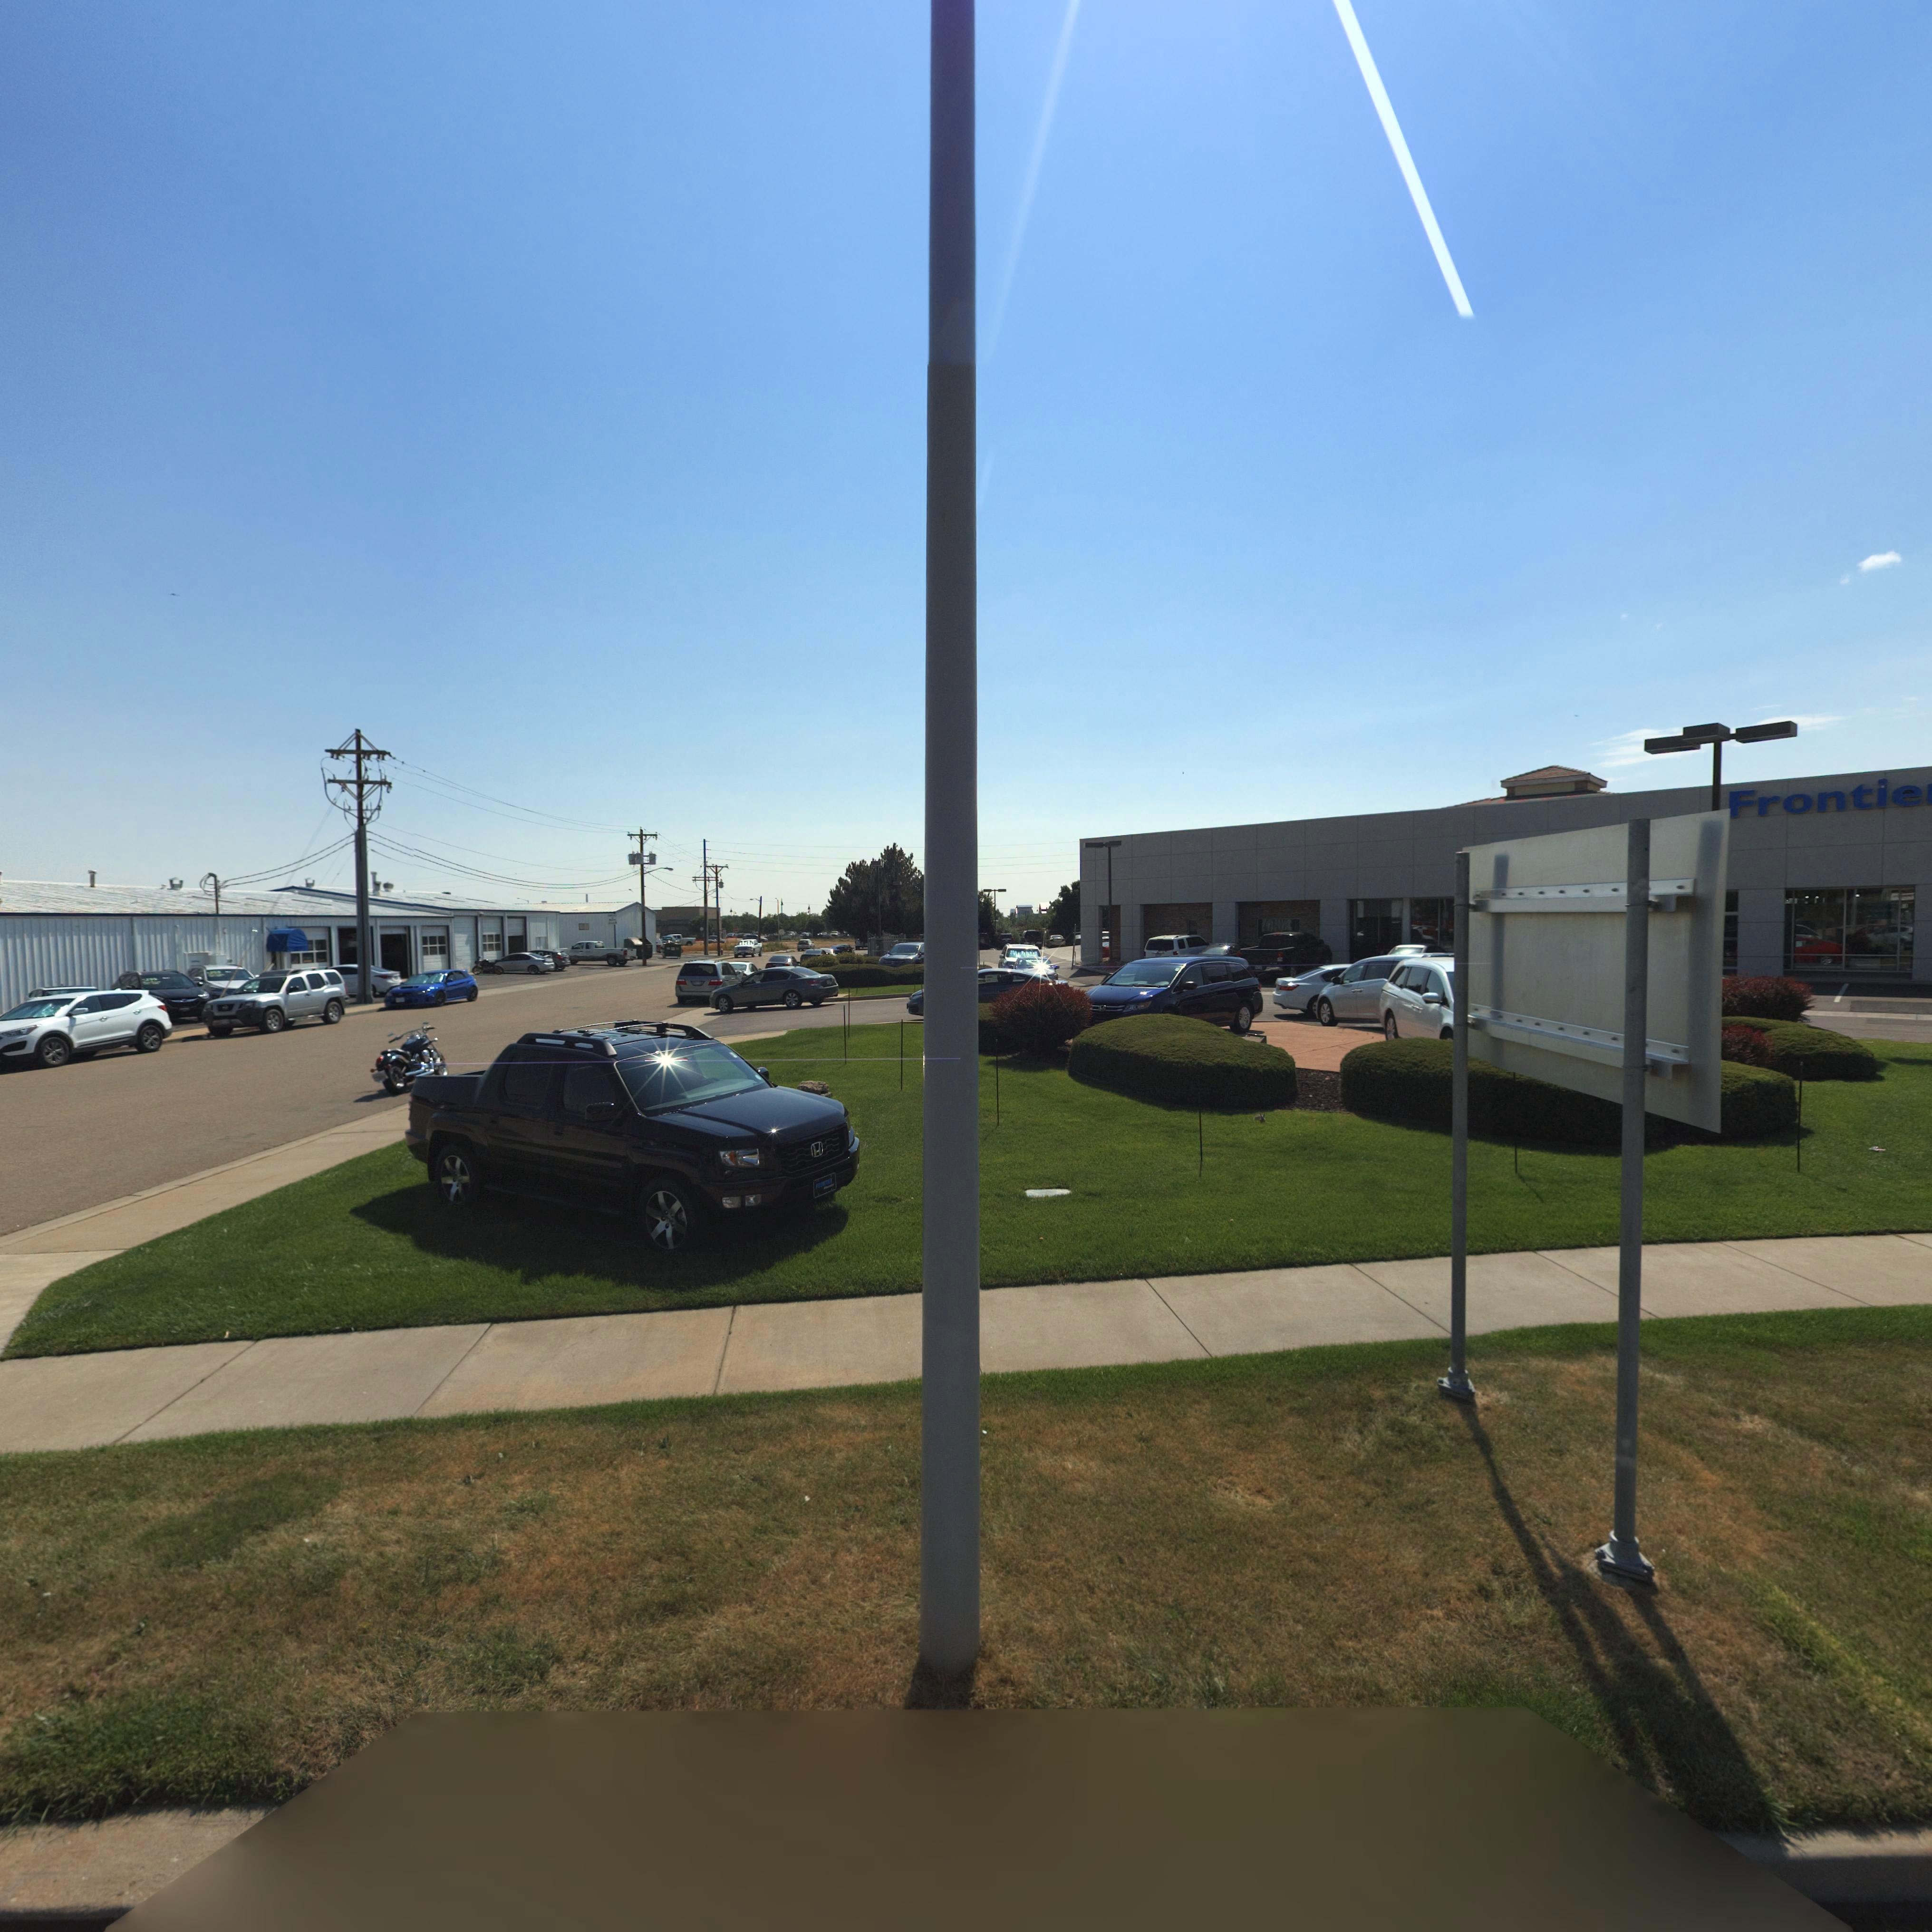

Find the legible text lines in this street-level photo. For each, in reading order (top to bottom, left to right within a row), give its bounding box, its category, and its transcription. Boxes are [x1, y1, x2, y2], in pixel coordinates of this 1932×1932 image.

[1728, 778, 1922, 819] BusinessName: Frontie